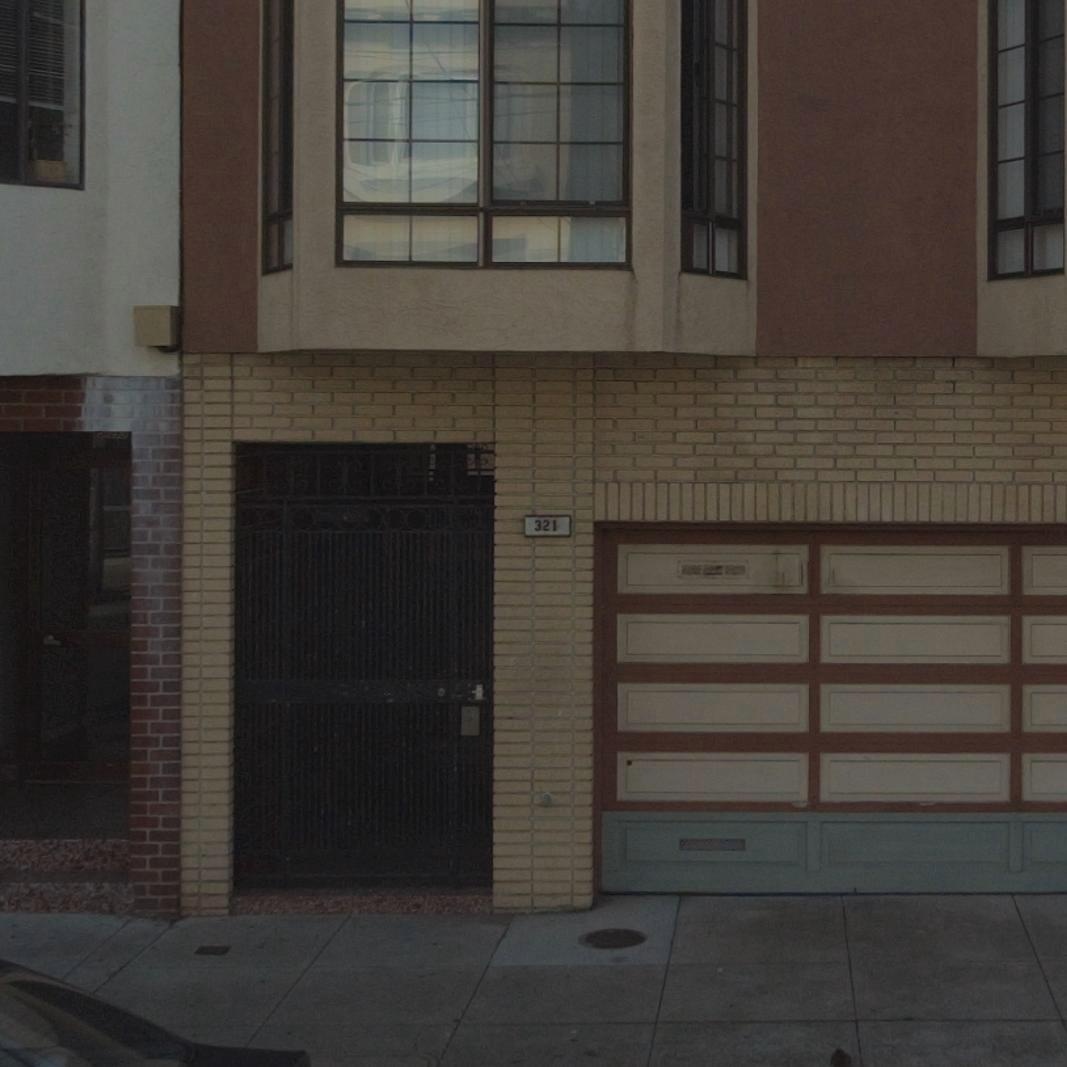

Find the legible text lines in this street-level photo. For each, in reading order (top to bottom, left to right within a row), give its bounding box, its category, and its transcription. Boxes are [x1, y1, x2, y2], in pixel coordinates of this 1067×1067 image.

[533, 518, 559, 532] StreetNumber: 321